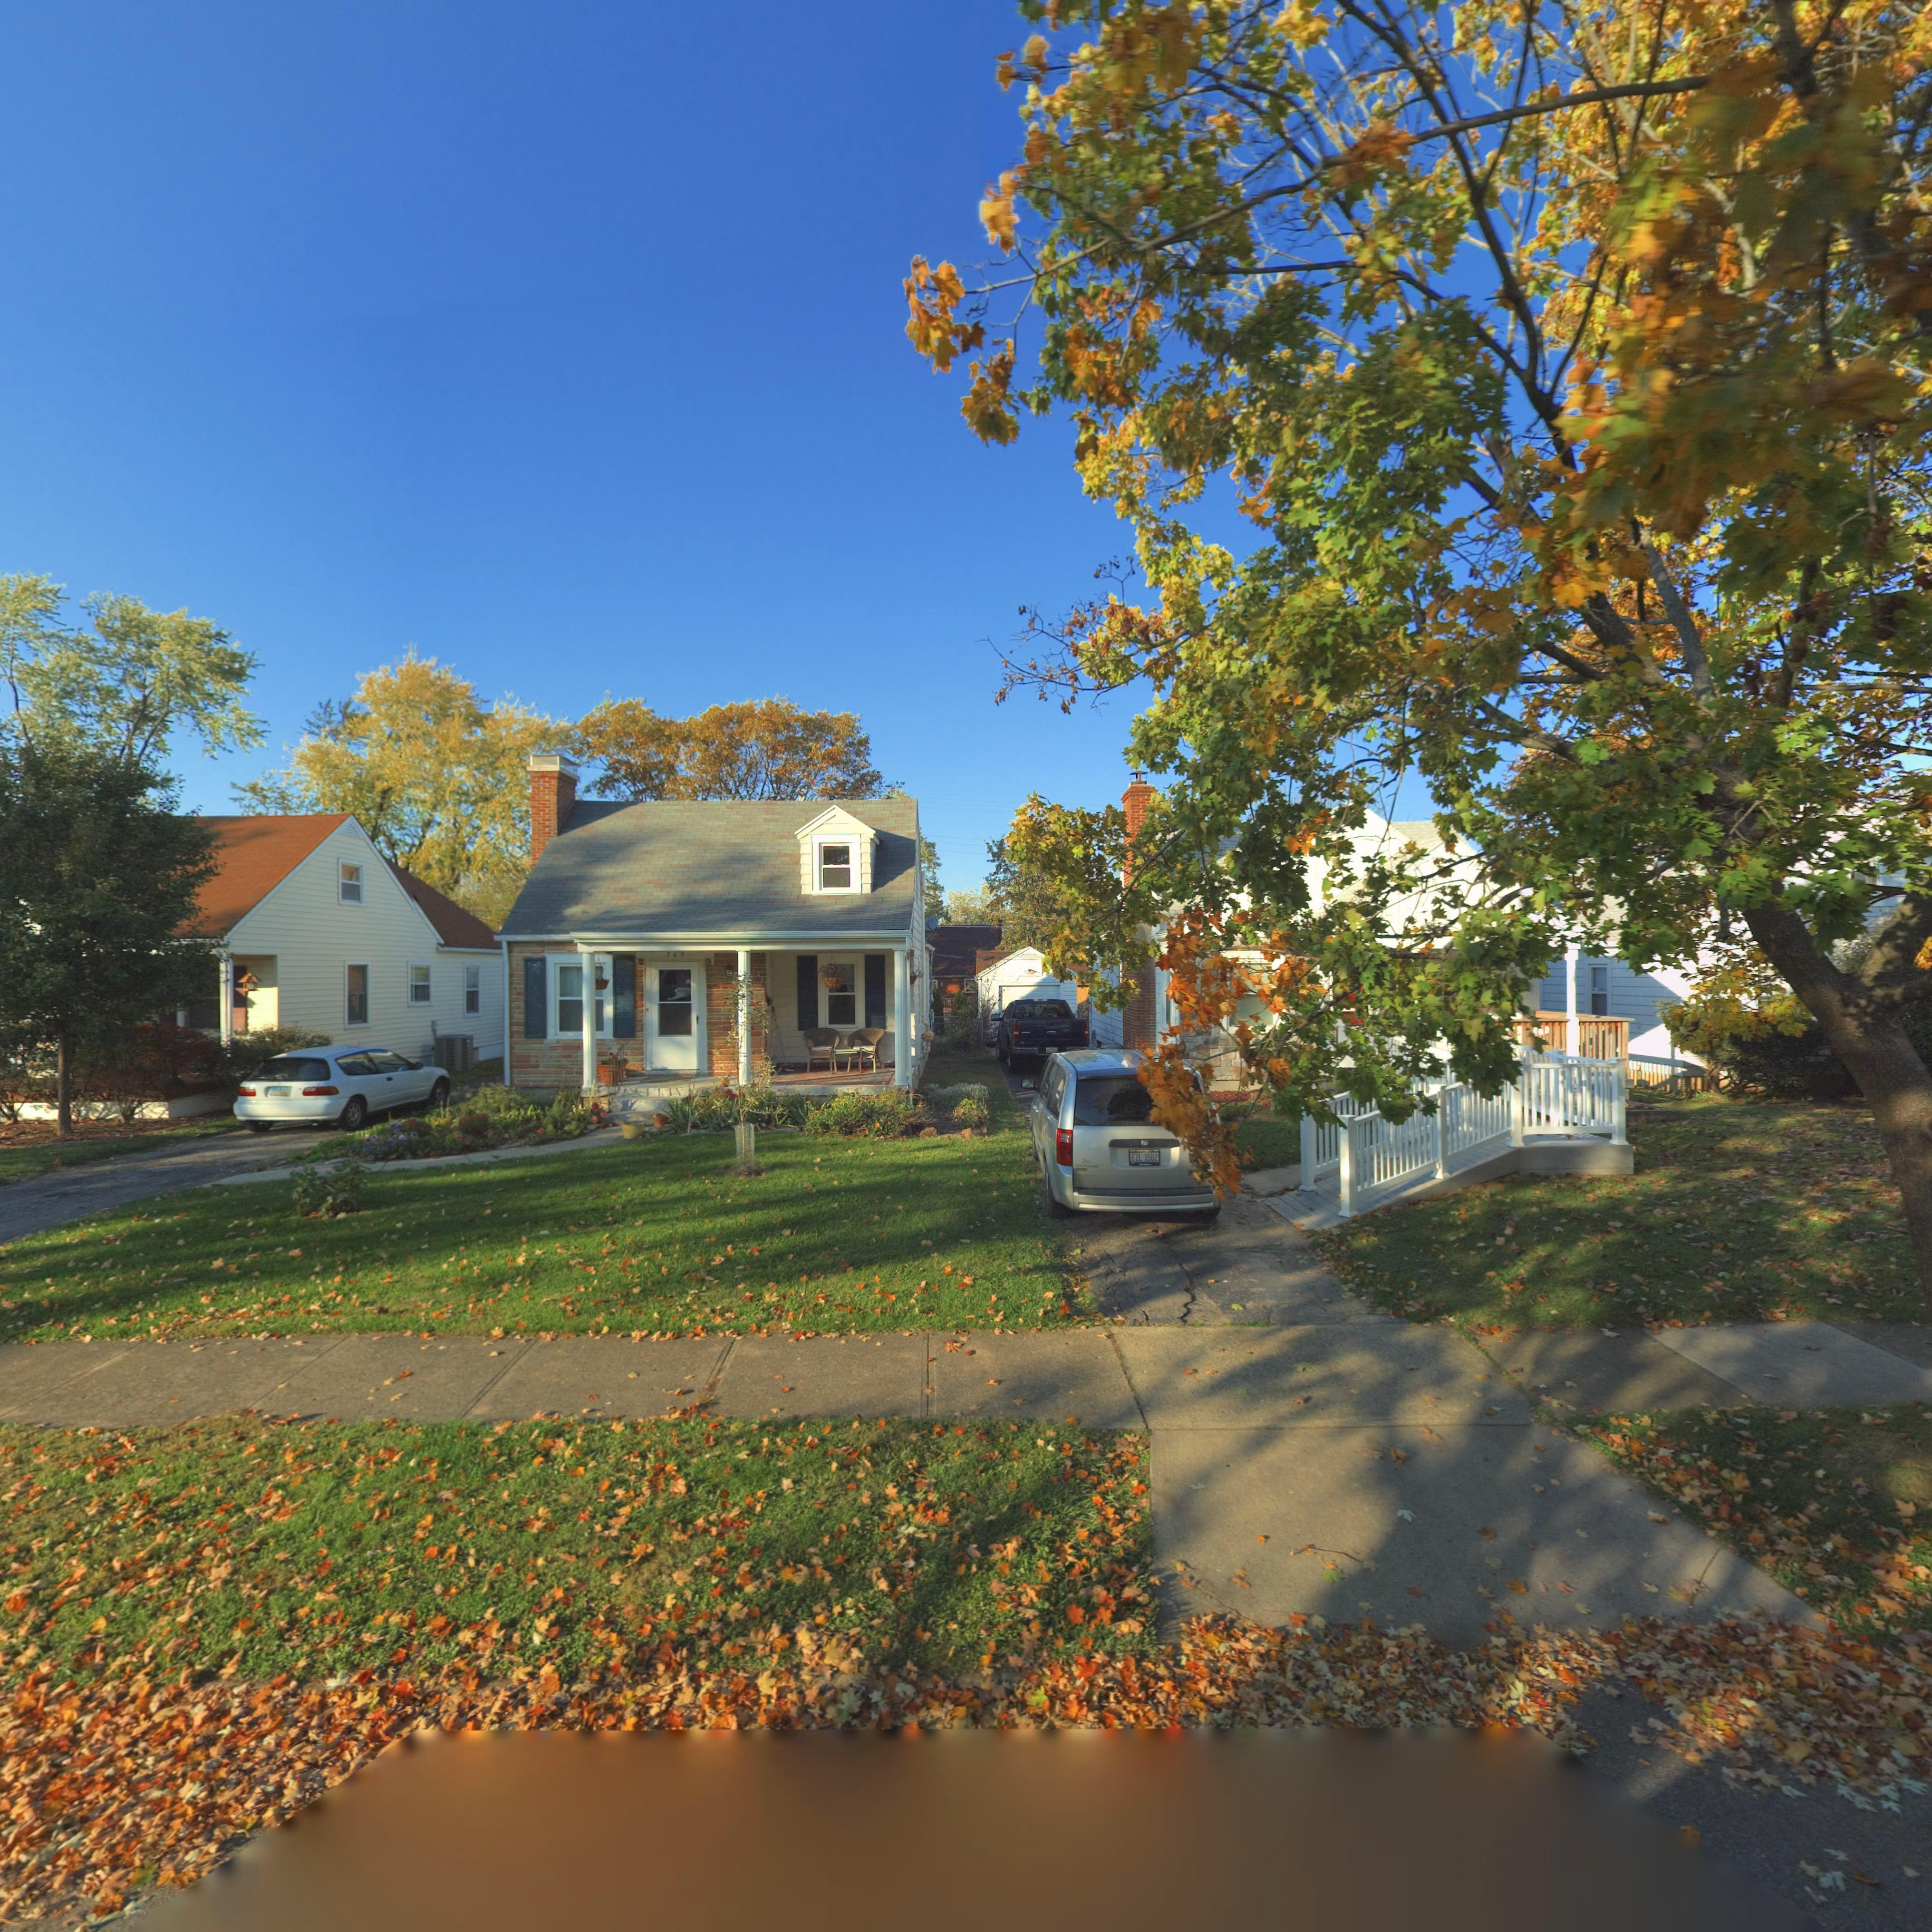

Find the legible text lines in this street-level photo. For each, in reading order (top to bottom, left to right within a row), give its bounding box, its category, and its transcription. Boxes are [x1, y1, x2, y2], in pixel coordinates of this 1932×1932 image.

[663, 950, 686, 959] StreetNumber: 349